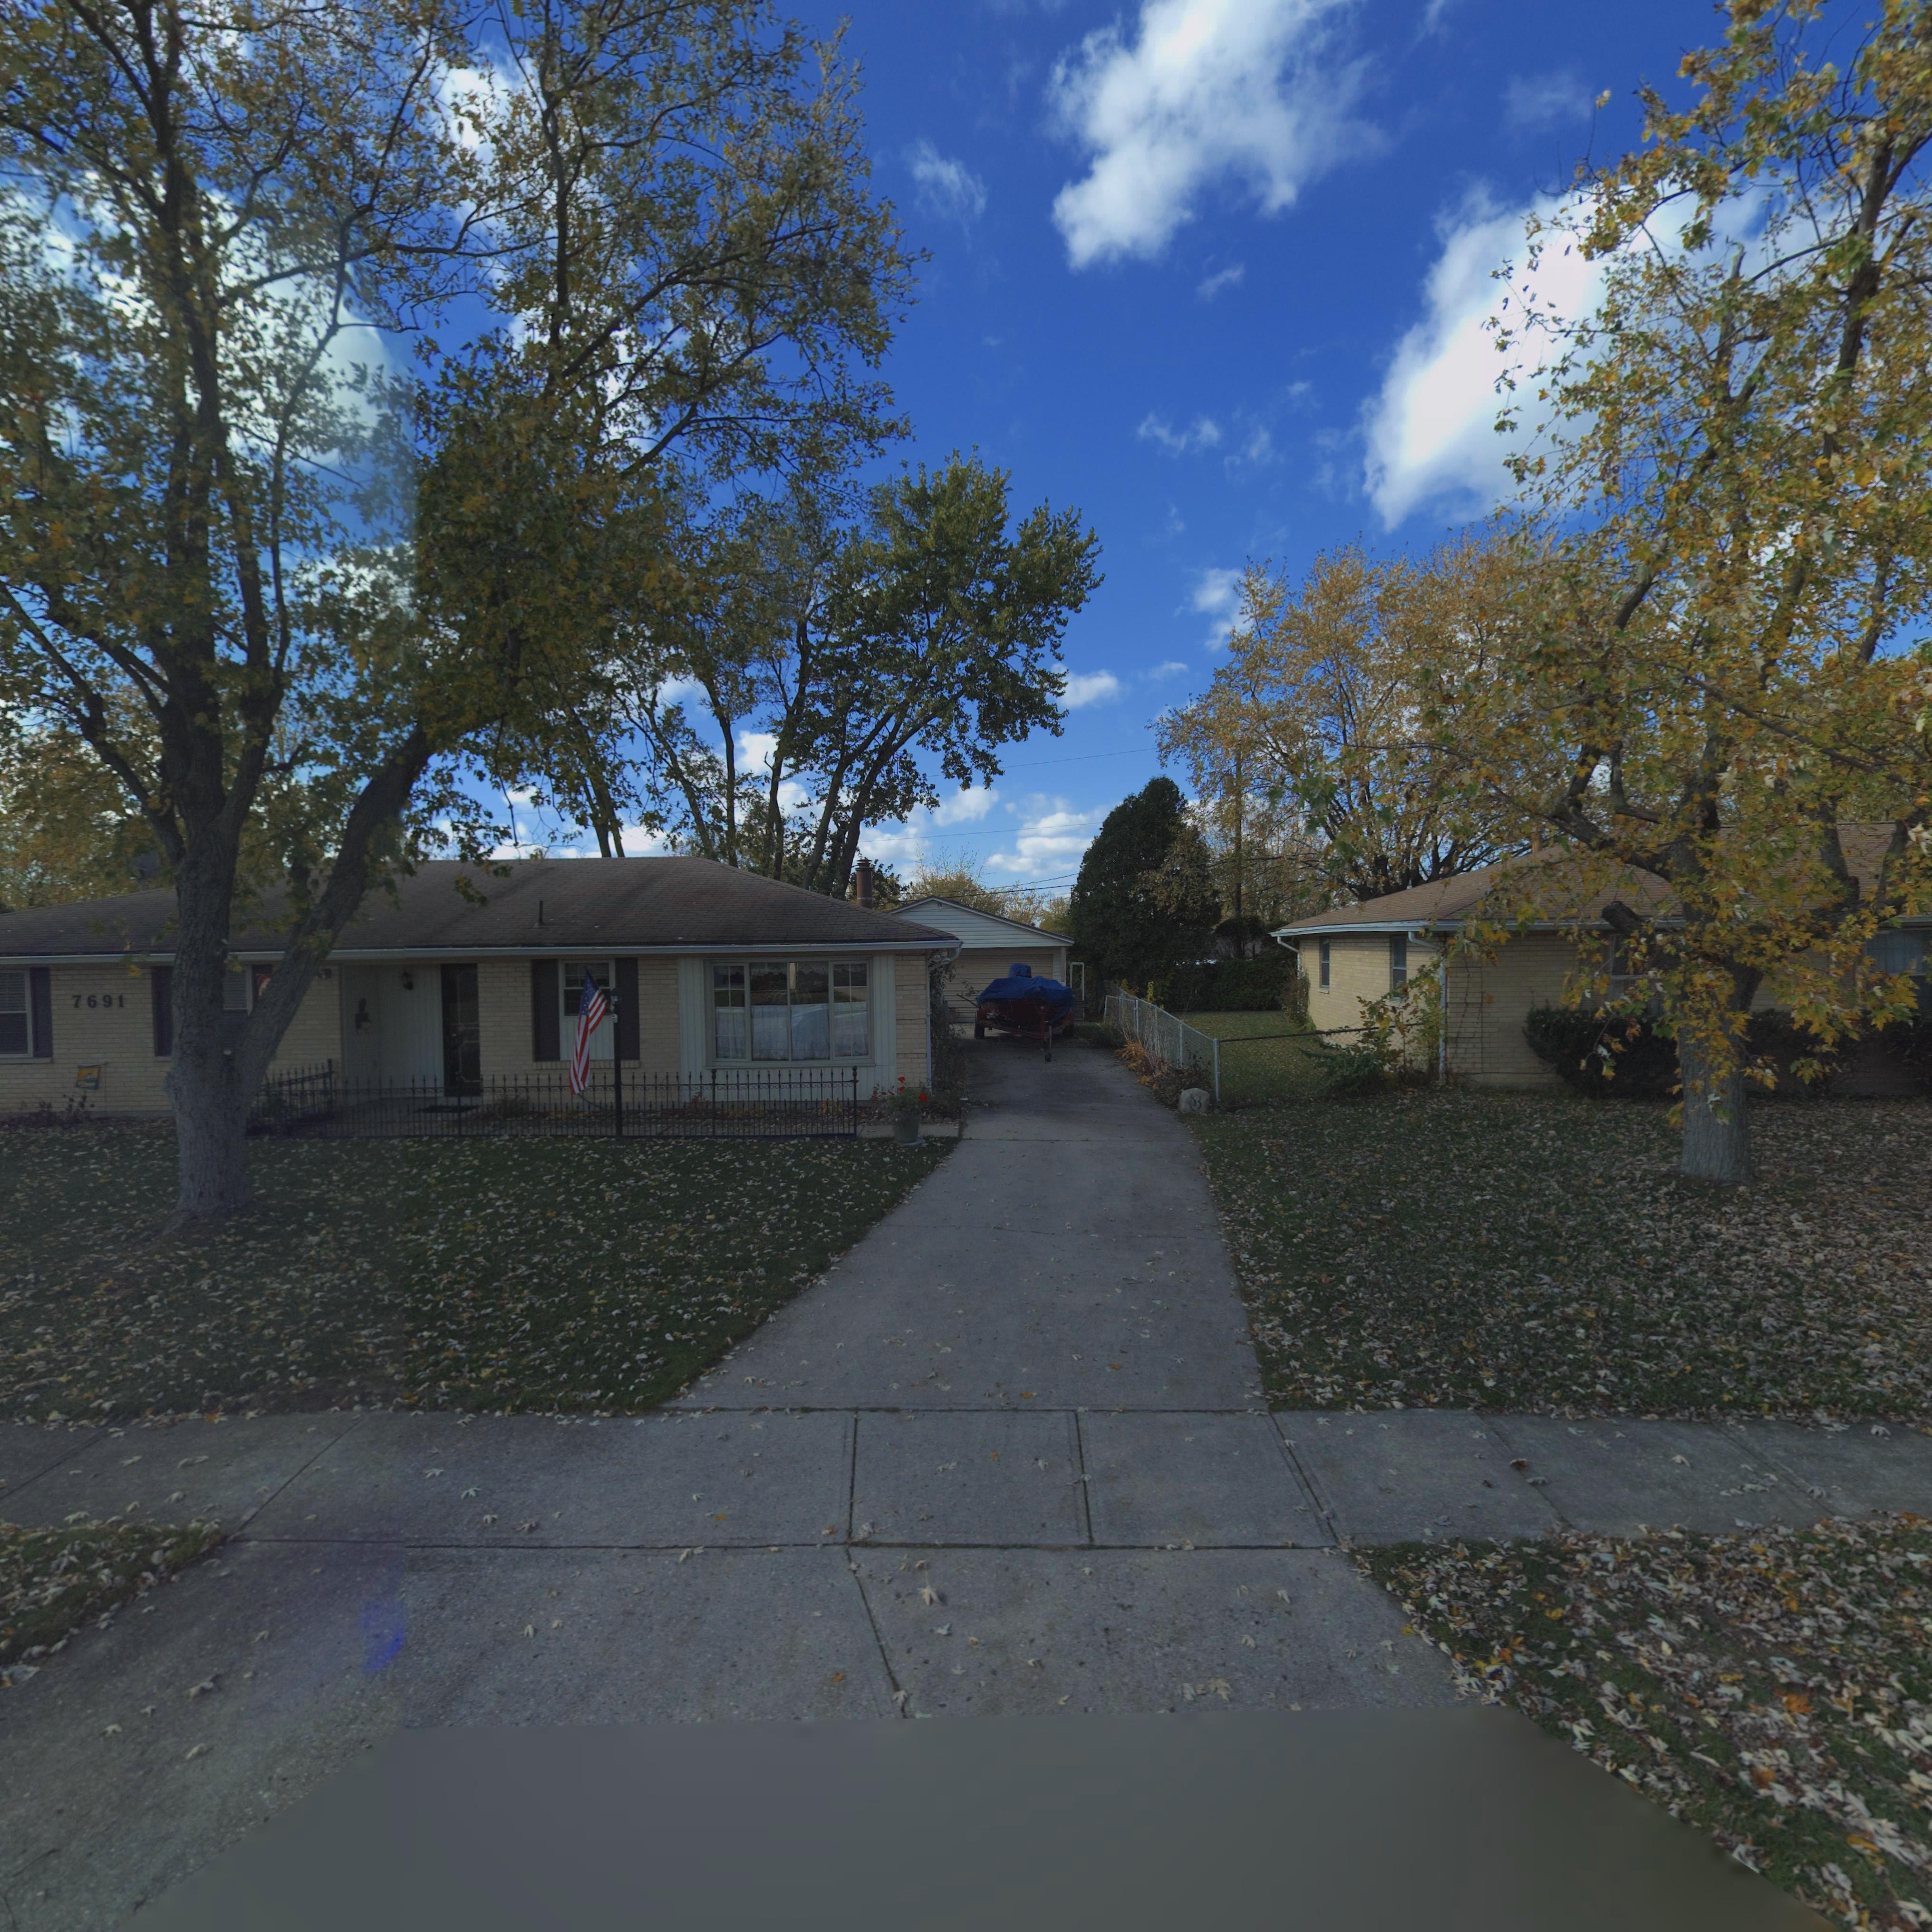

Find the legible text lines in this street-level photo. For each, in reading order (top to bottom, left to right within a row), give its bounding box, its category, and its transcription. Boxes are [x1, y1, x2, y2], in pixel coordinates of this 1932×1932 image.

[71, 994, 125, 1009] StreetNumber: 7691